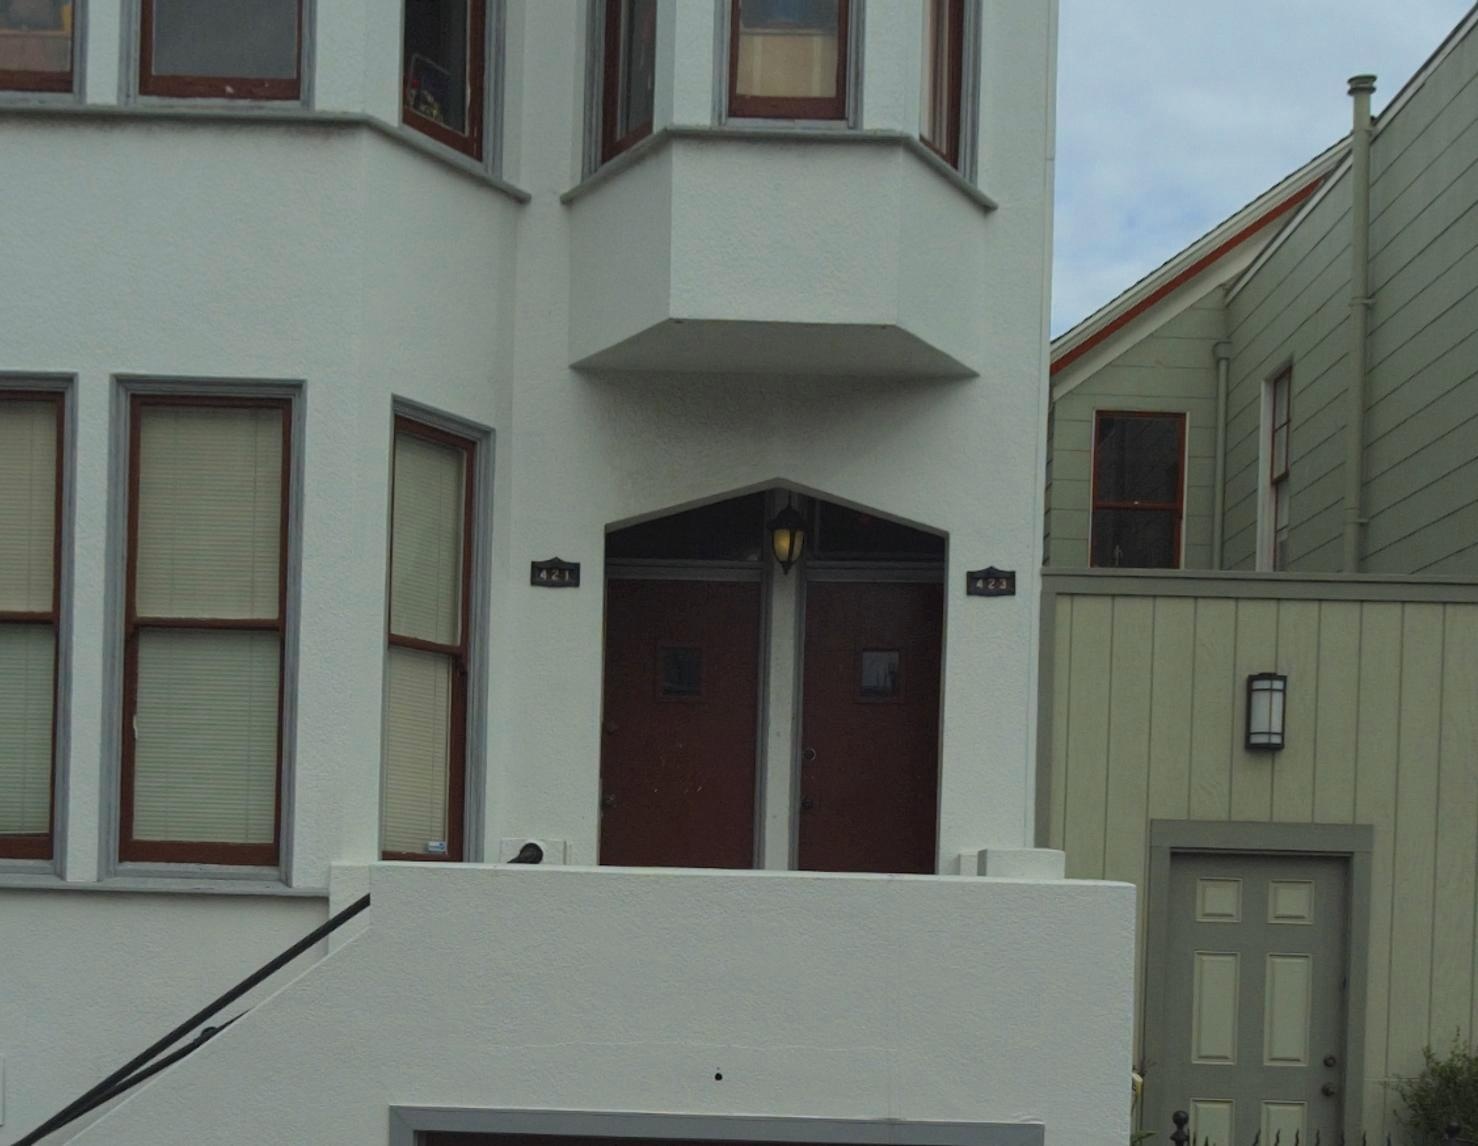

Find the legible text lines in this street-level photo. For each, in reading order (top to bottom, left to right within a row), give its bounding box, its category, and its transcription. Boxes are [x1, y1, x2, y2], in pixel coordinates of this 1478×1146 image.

[538, 568, 571, 582] StreetNumber: 421
[975, 577, 1008, 590] StreetNumber: 423